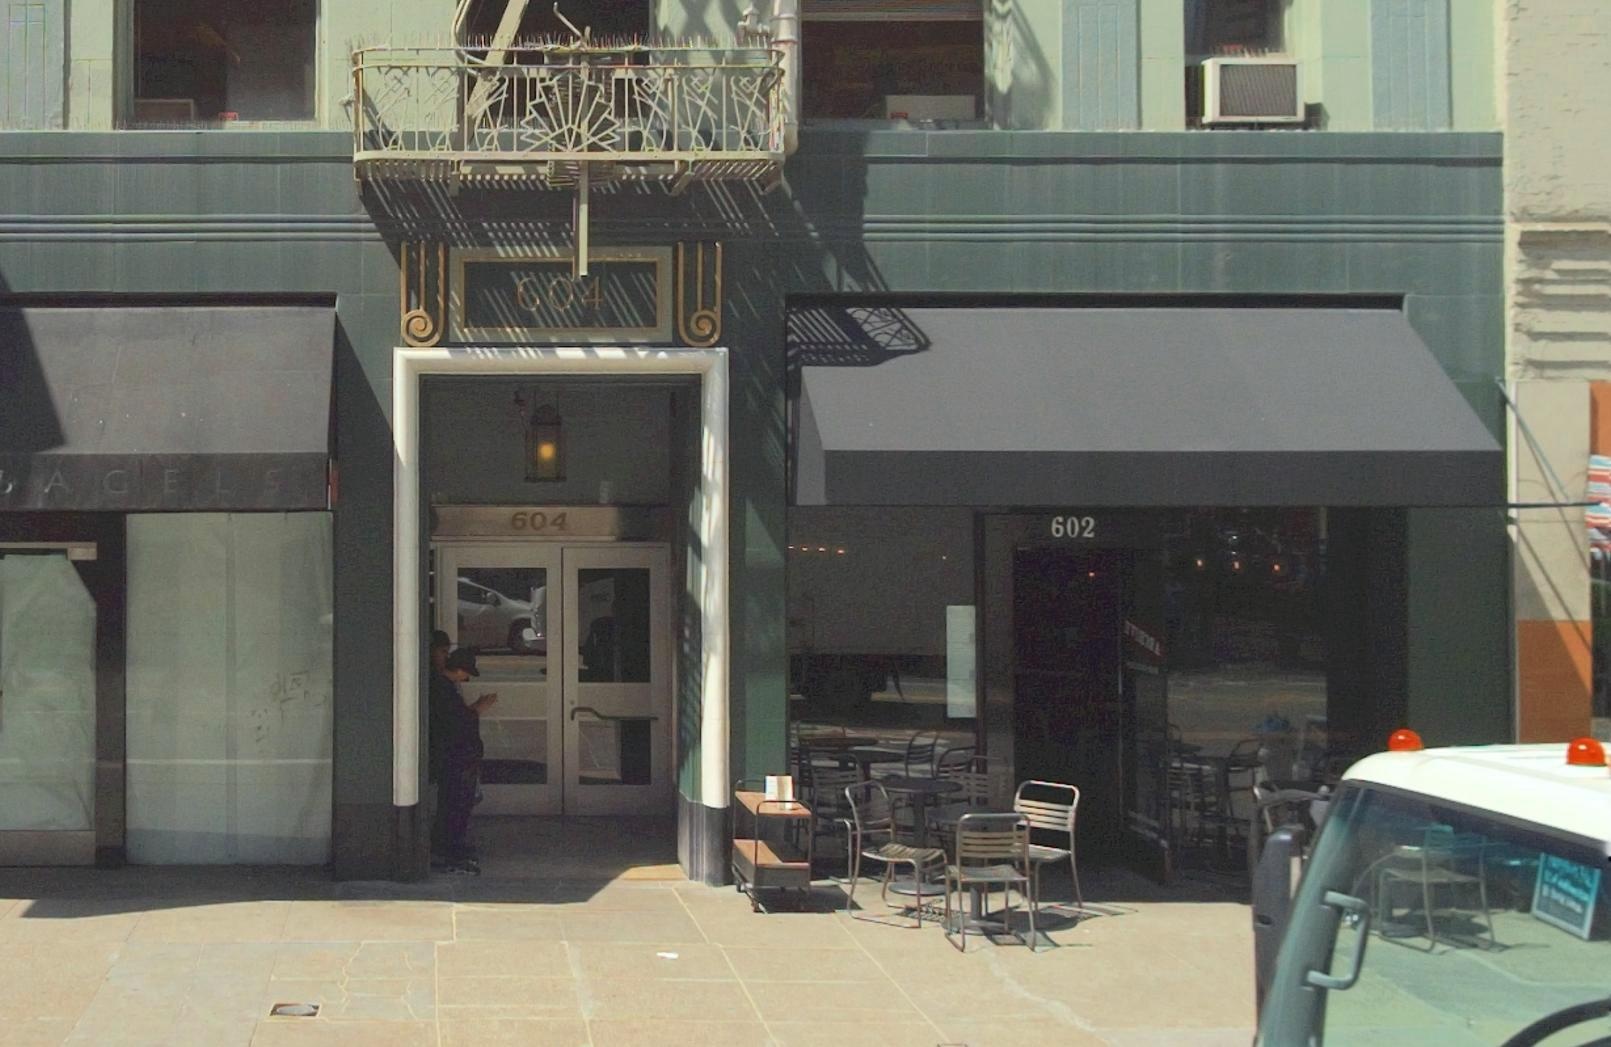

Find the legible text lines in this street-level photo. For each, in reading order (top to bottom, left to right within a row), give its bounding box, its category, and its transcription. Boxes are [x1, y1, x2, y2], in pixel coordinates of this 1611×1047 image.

[513, 272, 606, 315] StreetNumber: 604
[507, 508, 568, 534] StreetNumber: 604
[1048, 514, 1097, 541] StreetNumber: 602